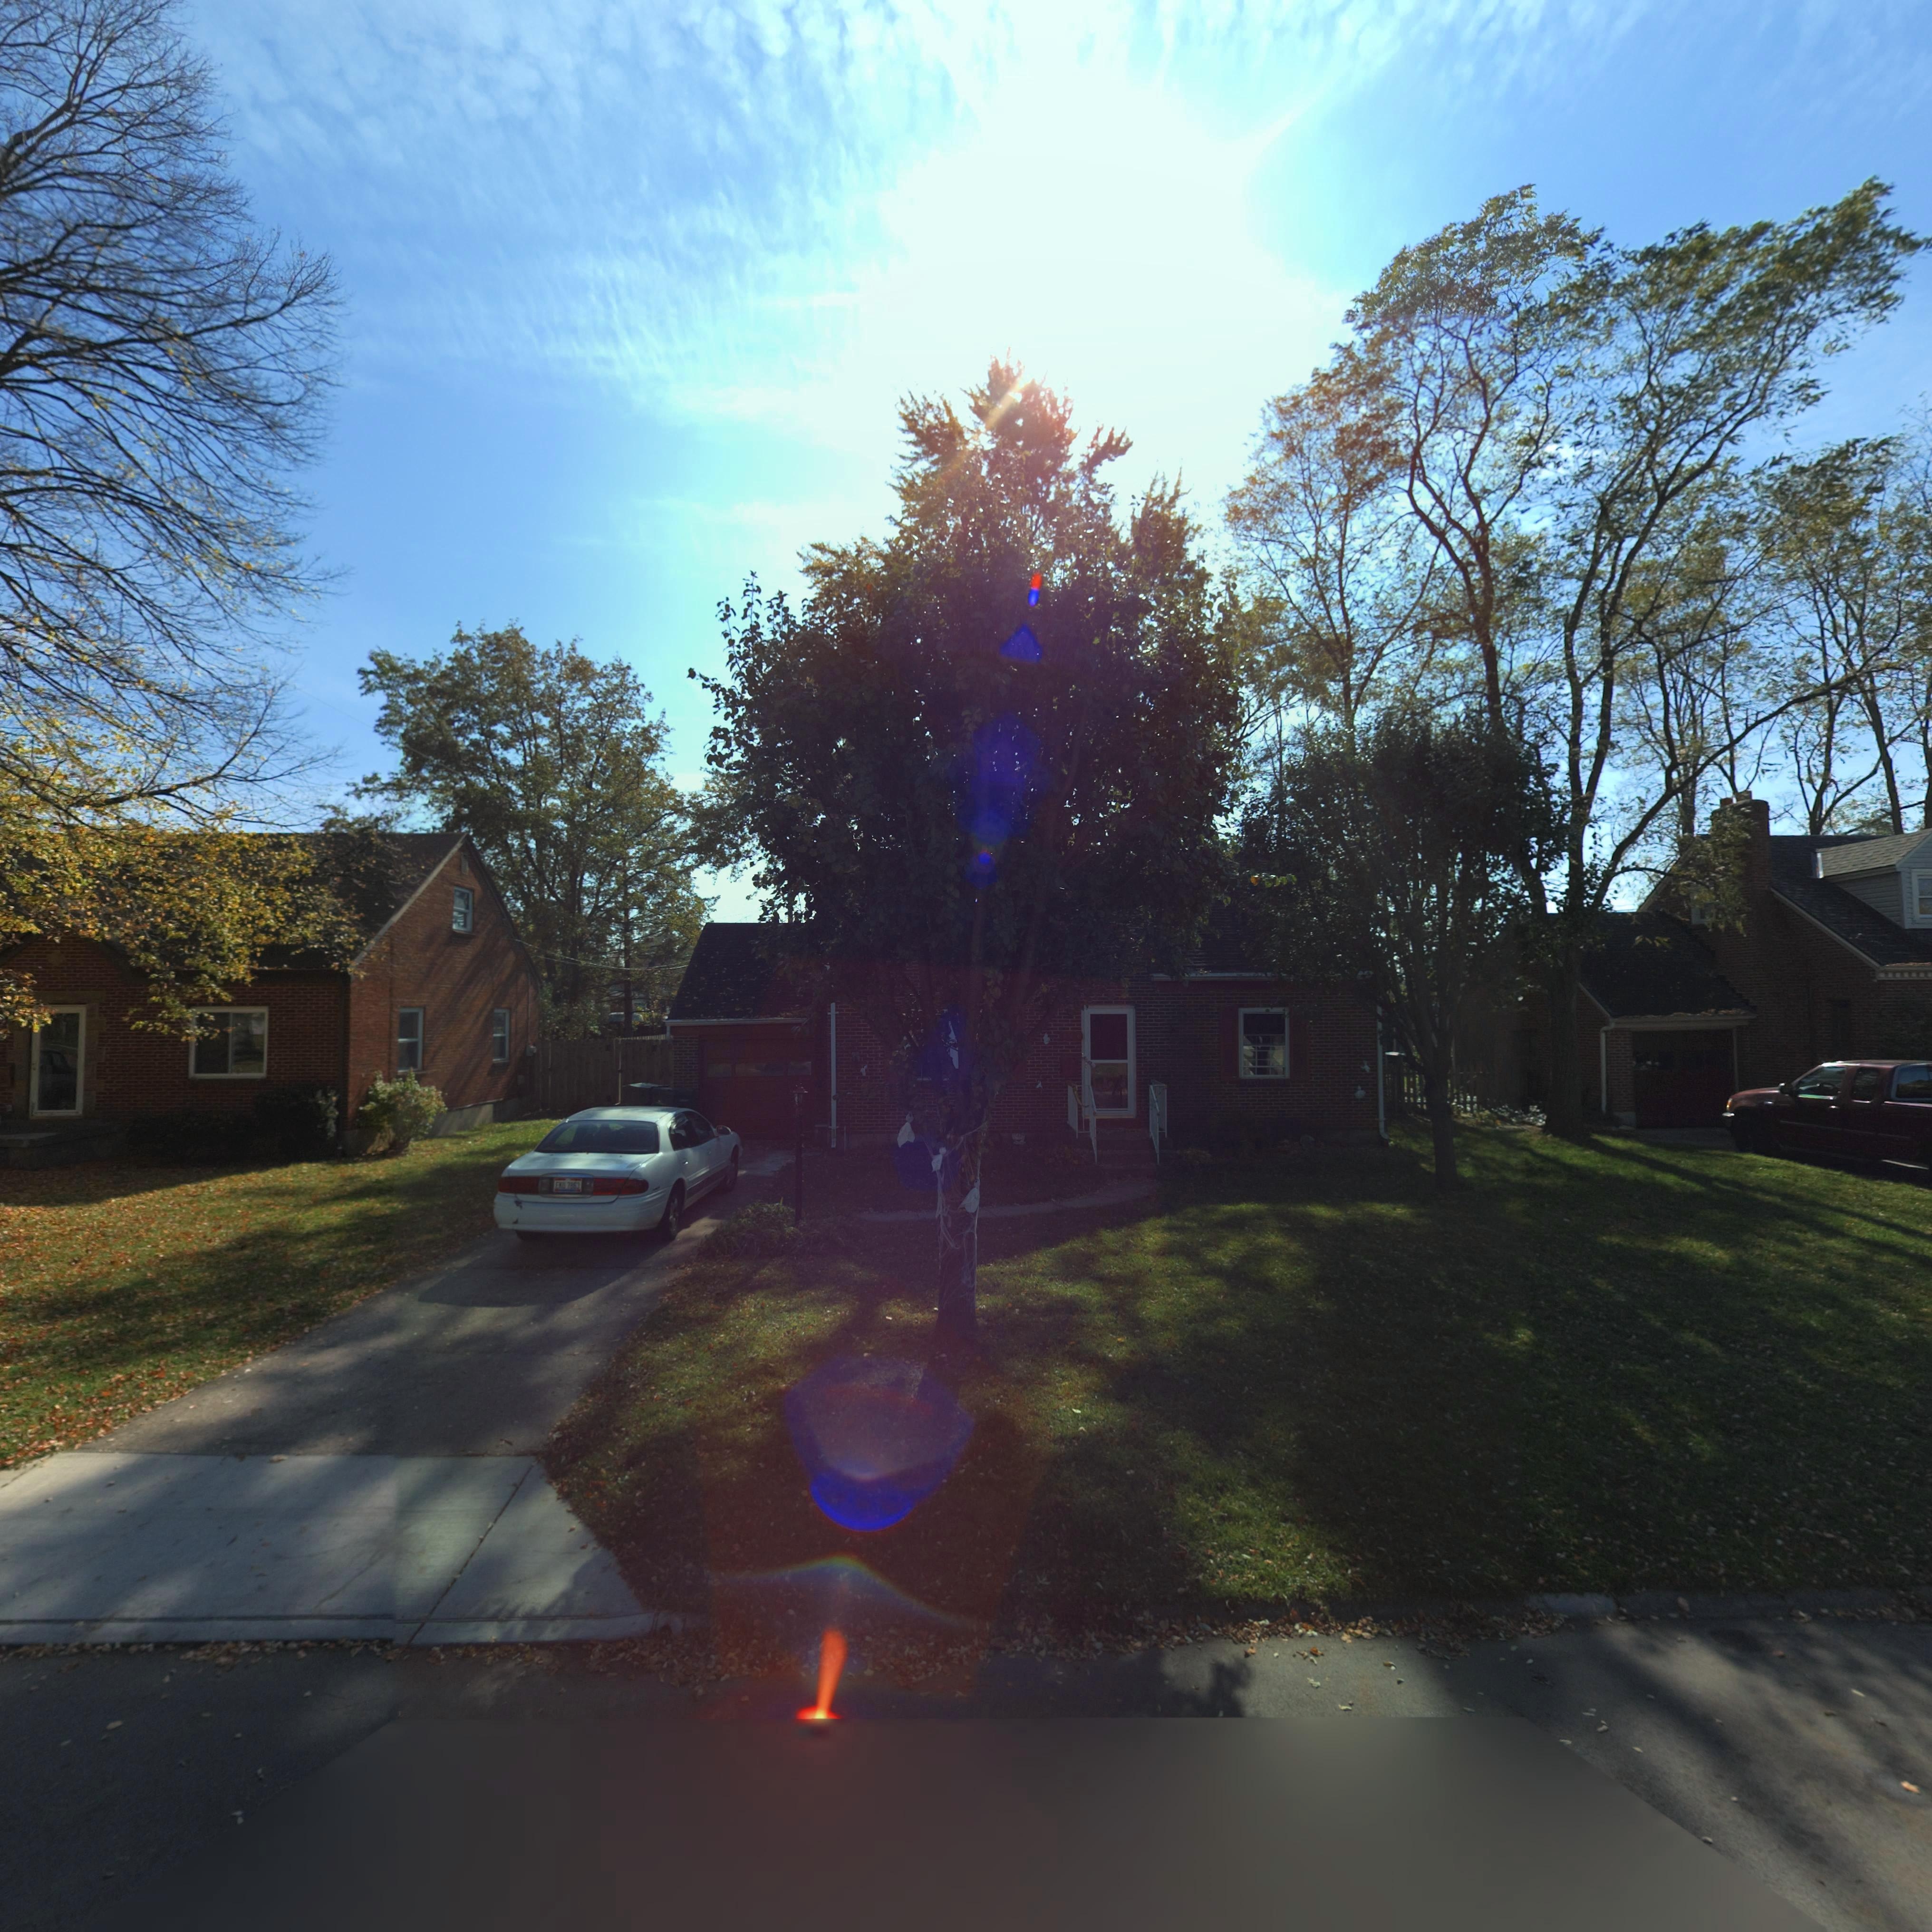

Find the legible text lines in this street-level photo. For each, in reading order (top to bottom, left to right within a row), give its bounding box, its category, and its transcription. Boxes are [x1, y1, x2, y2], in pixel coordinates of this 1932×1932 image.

[1063, 1033, 1080, 1039] StreetNumber: *2*
[555, 1181, 580, 1189] None: EKU*7863